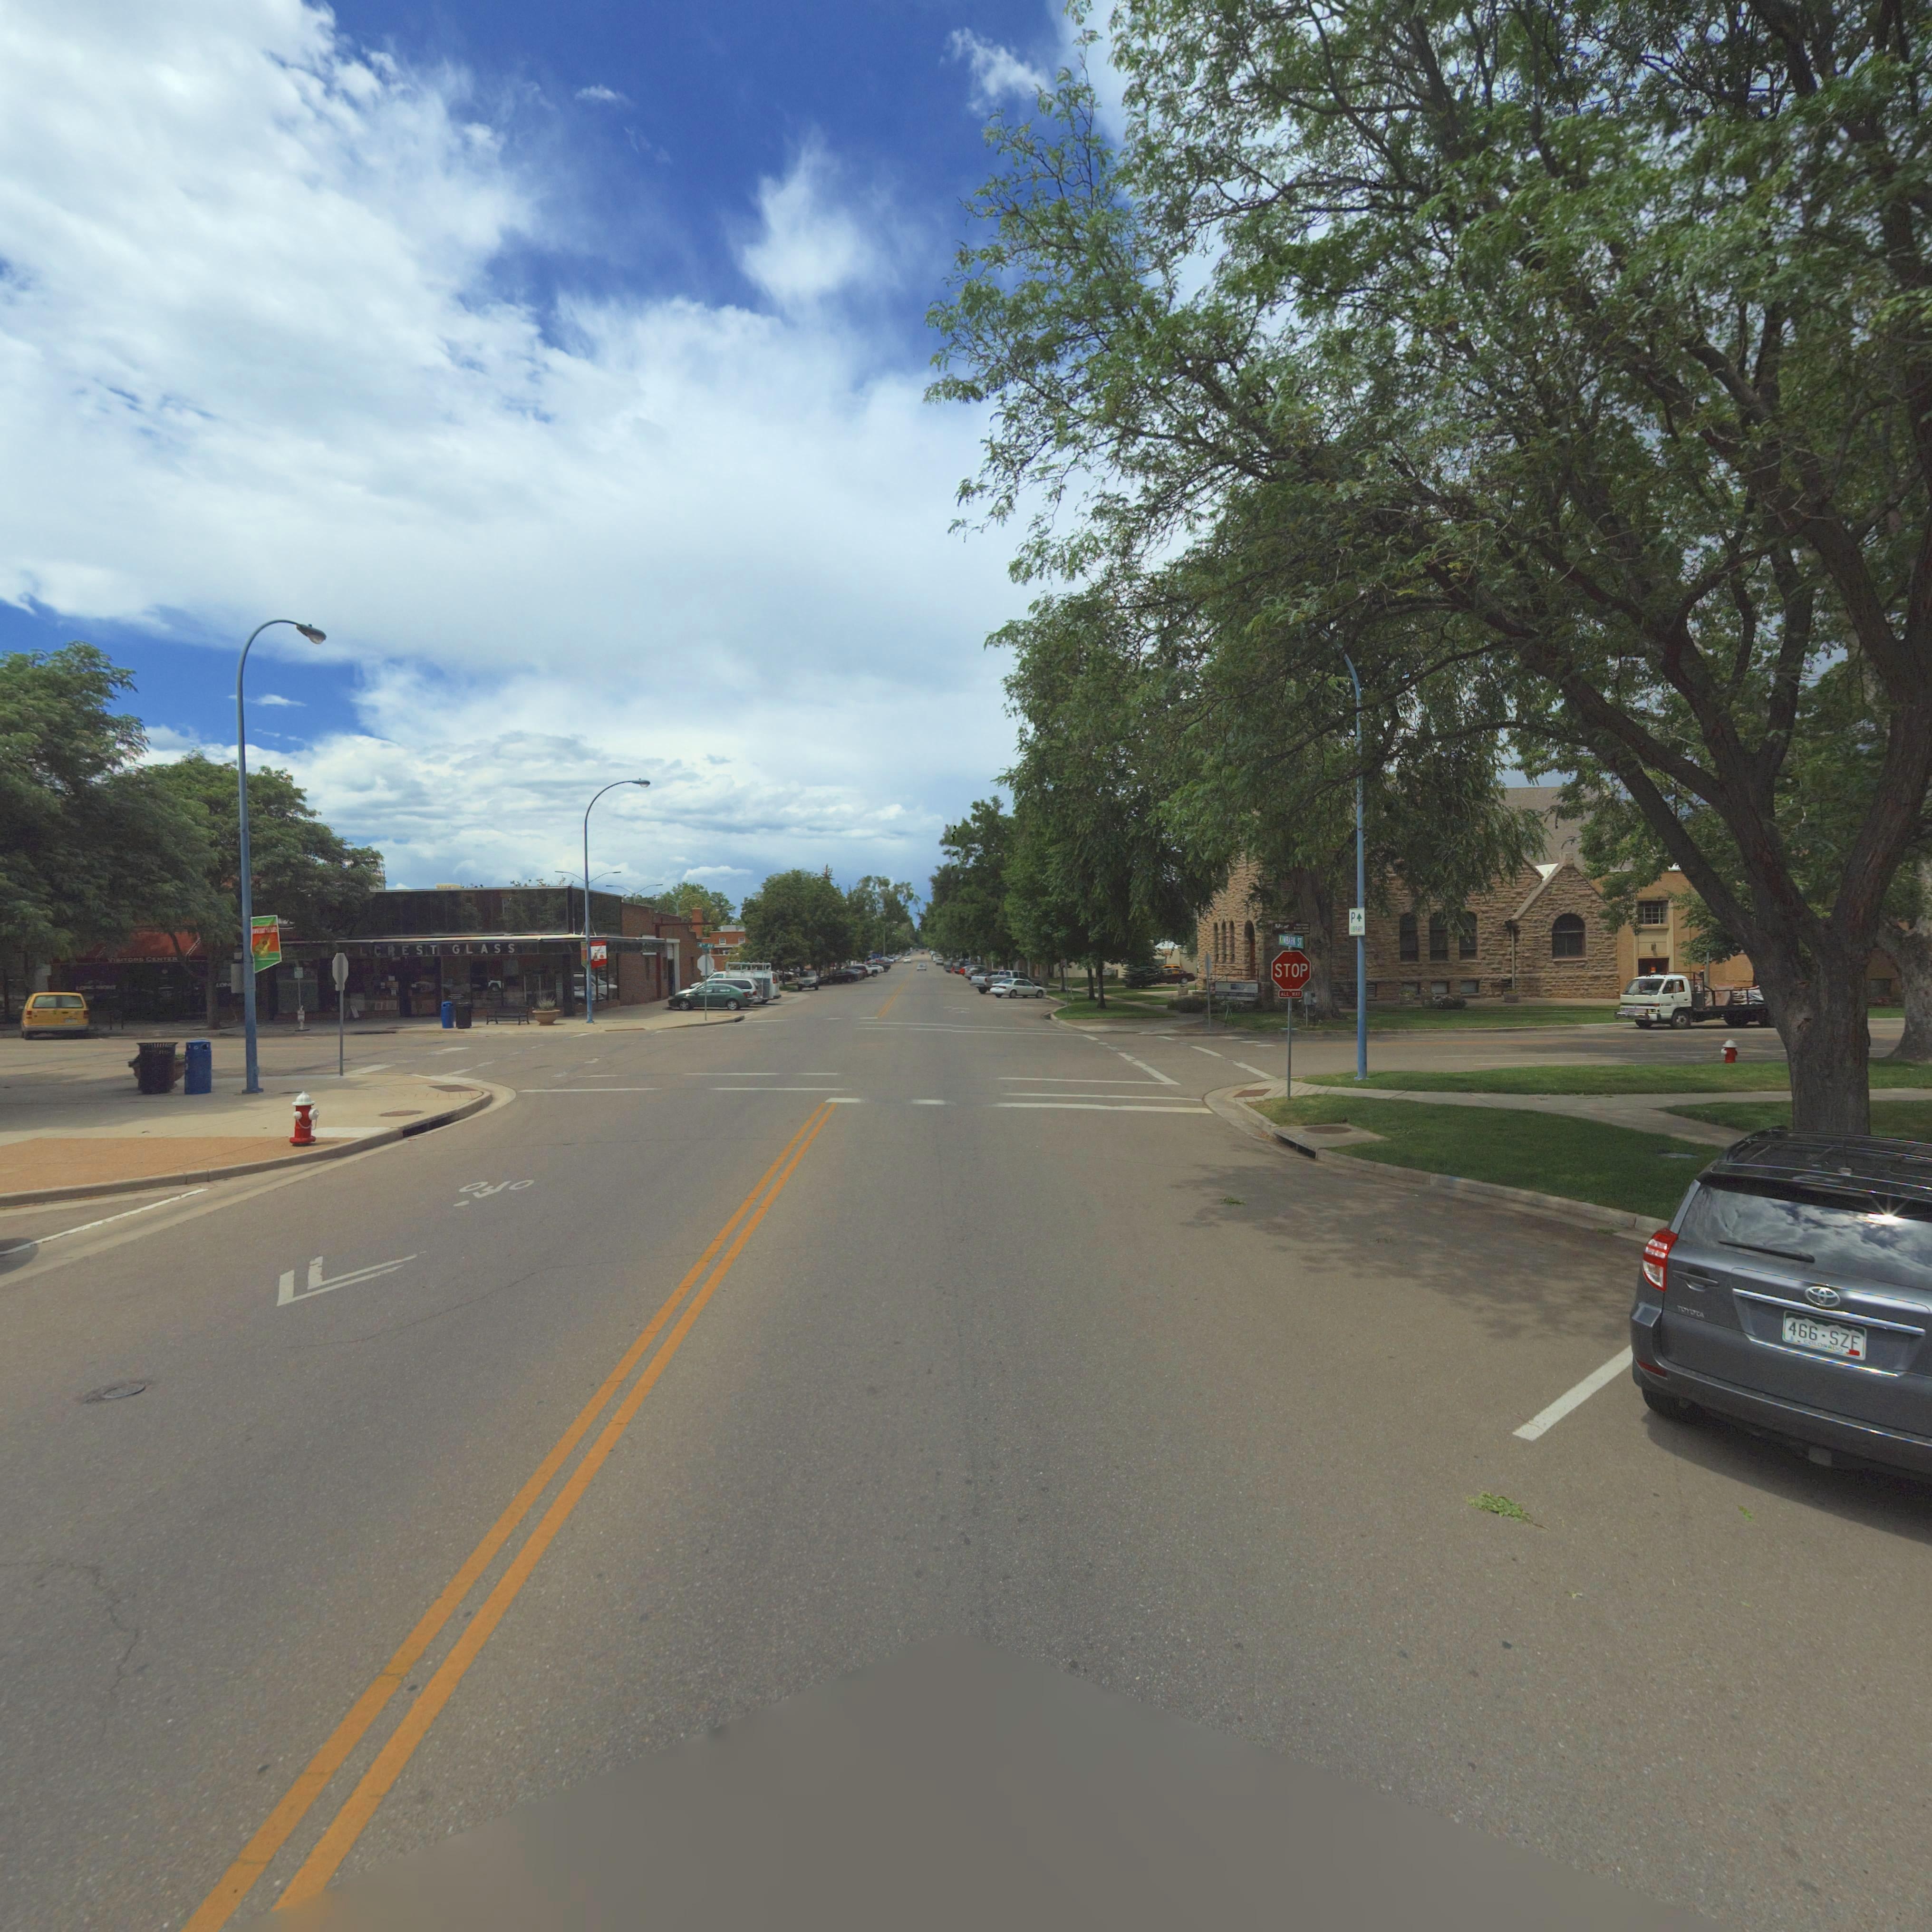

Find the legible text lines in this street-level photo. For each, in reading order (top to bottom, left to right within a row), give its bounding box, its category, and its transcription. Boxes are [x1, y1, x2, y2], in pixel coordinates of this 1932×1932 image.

[319, 943, 515, 957] BusinessName: H**LCREST GLASS
[698, 943, 713, 948] StreetName: 4TH AV
[1279, 935, 1303, 946] StreetName: K****** ST
[145, 956, 178, 962] BusinessName: CENTER